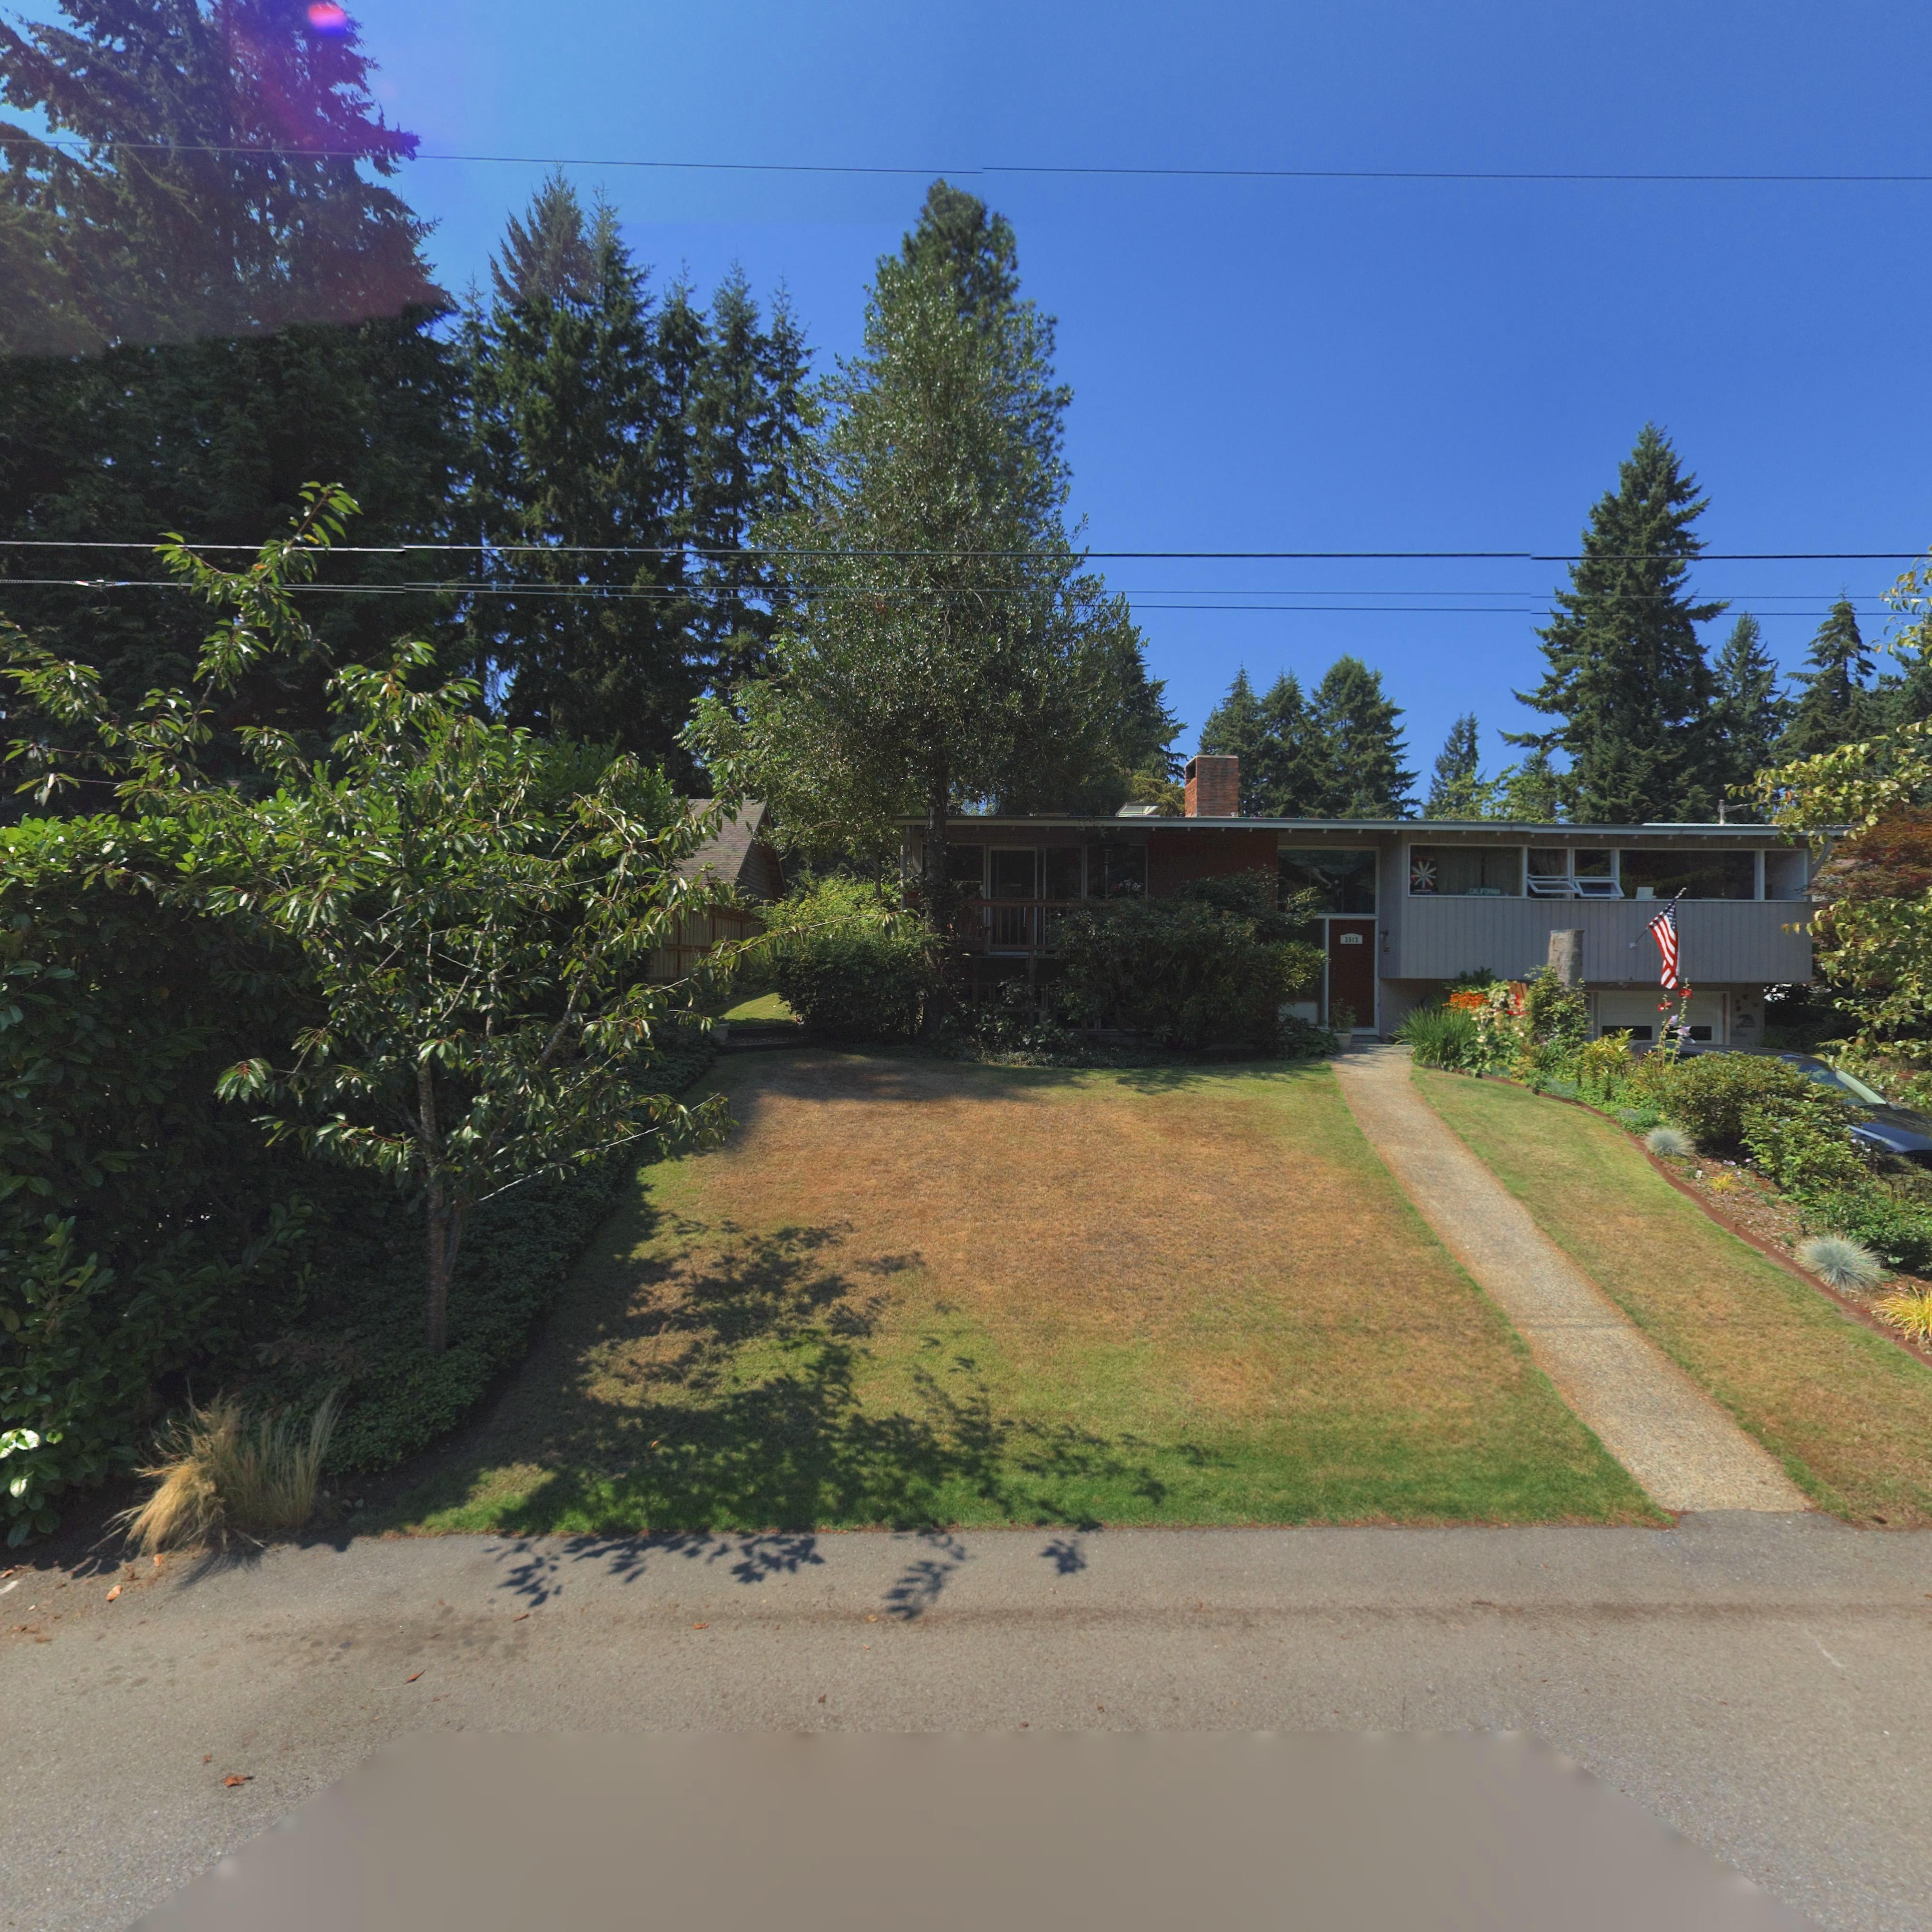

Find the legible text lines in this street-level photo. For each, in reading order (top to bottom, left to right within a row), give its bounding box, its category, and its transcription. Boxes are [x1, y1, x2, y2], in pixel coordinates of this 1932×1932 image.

[1344, 936, 1358, 943] StreetNumber: 2513